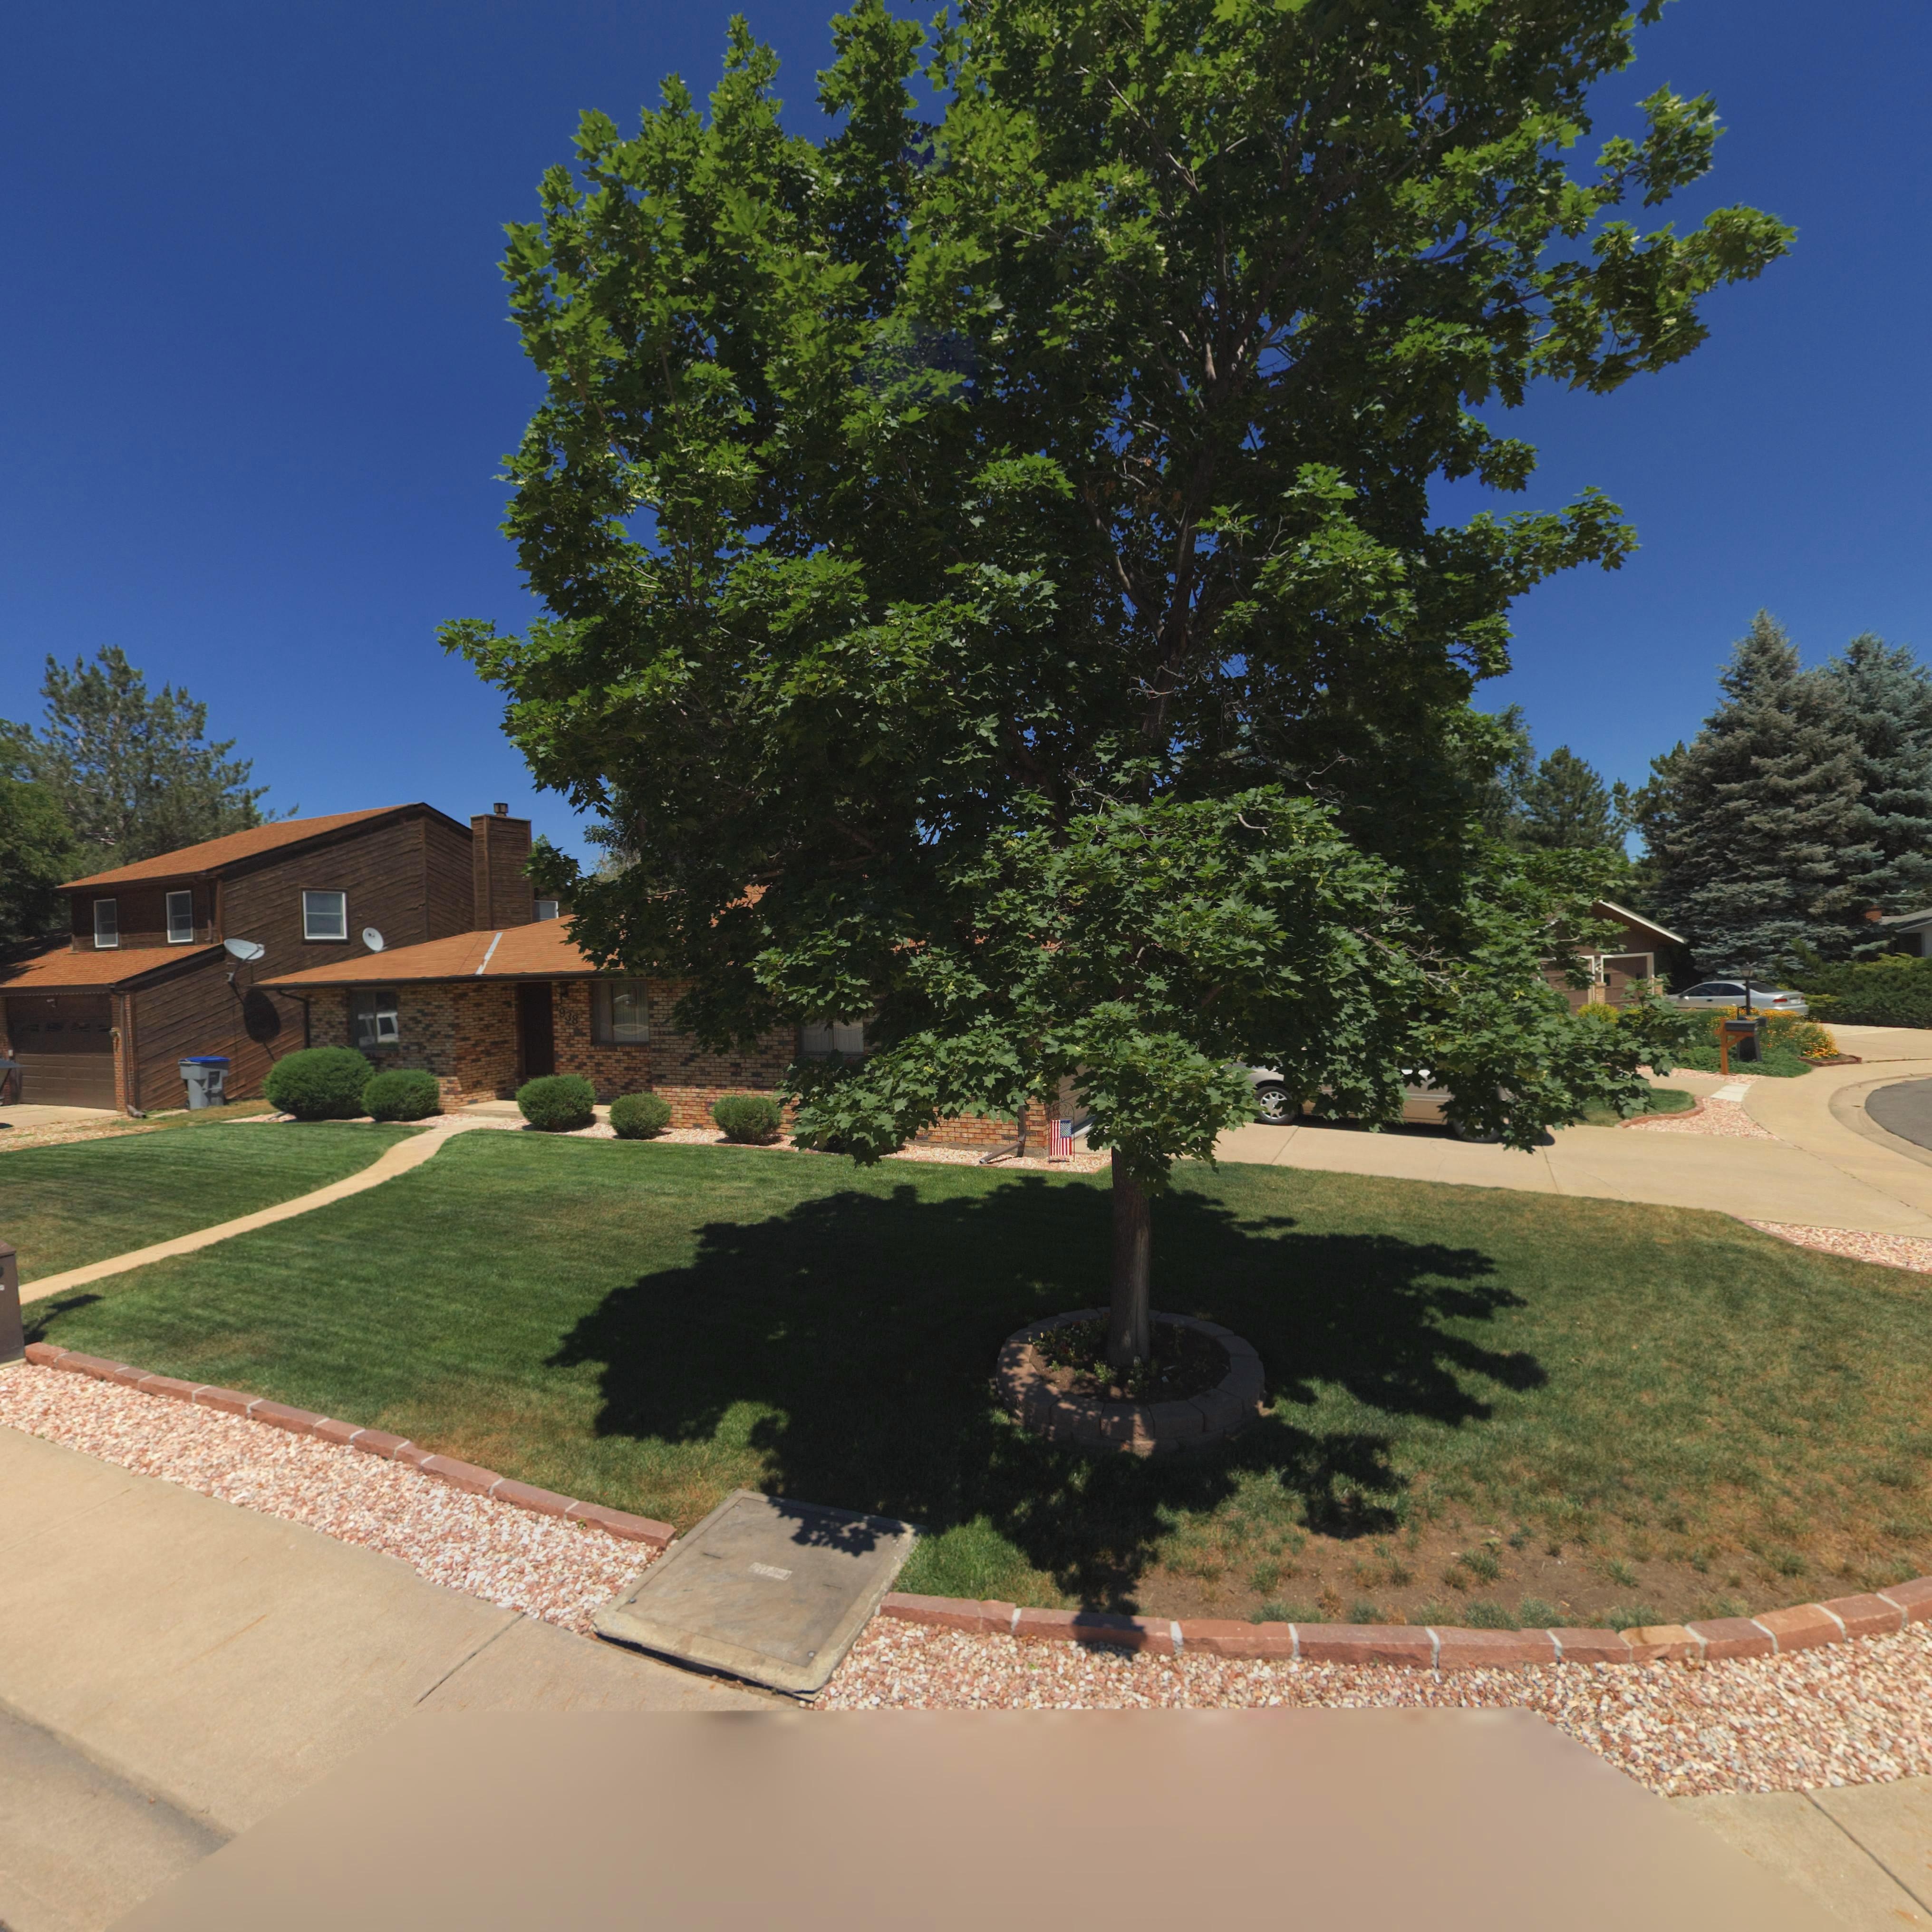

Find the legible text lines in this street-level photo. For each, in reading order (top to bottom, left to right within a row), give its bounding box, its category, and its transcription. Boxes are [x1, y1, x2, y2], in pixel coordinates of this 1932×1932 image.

[560, 1007, 578, 1024] StreetNumber: 938